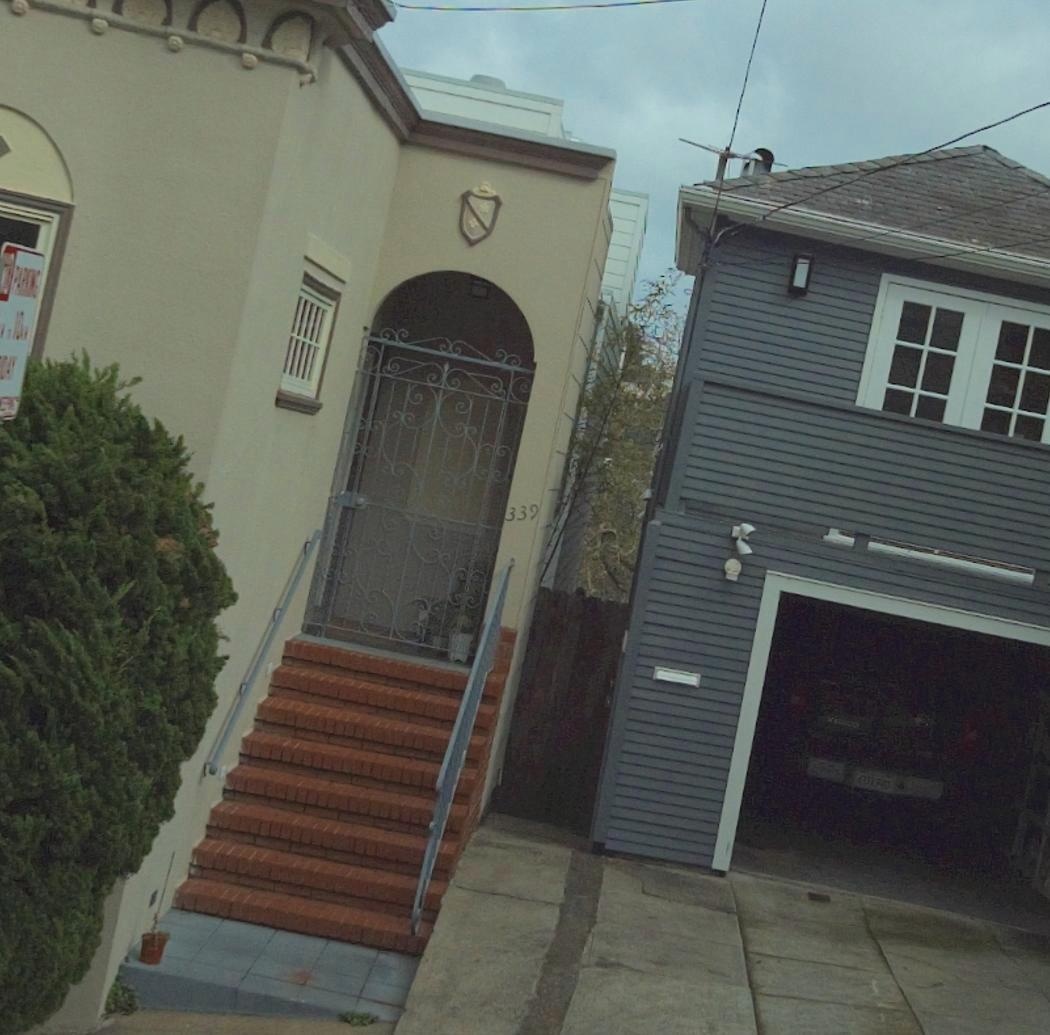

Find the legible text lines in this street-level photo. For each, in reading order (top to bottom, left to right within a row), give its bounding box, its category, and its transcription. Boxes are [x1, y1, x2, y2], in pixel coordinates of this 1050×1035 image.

[12, 310, 26, 344] None: 10
[503, 501, 540, 523] StreetNumber: 339